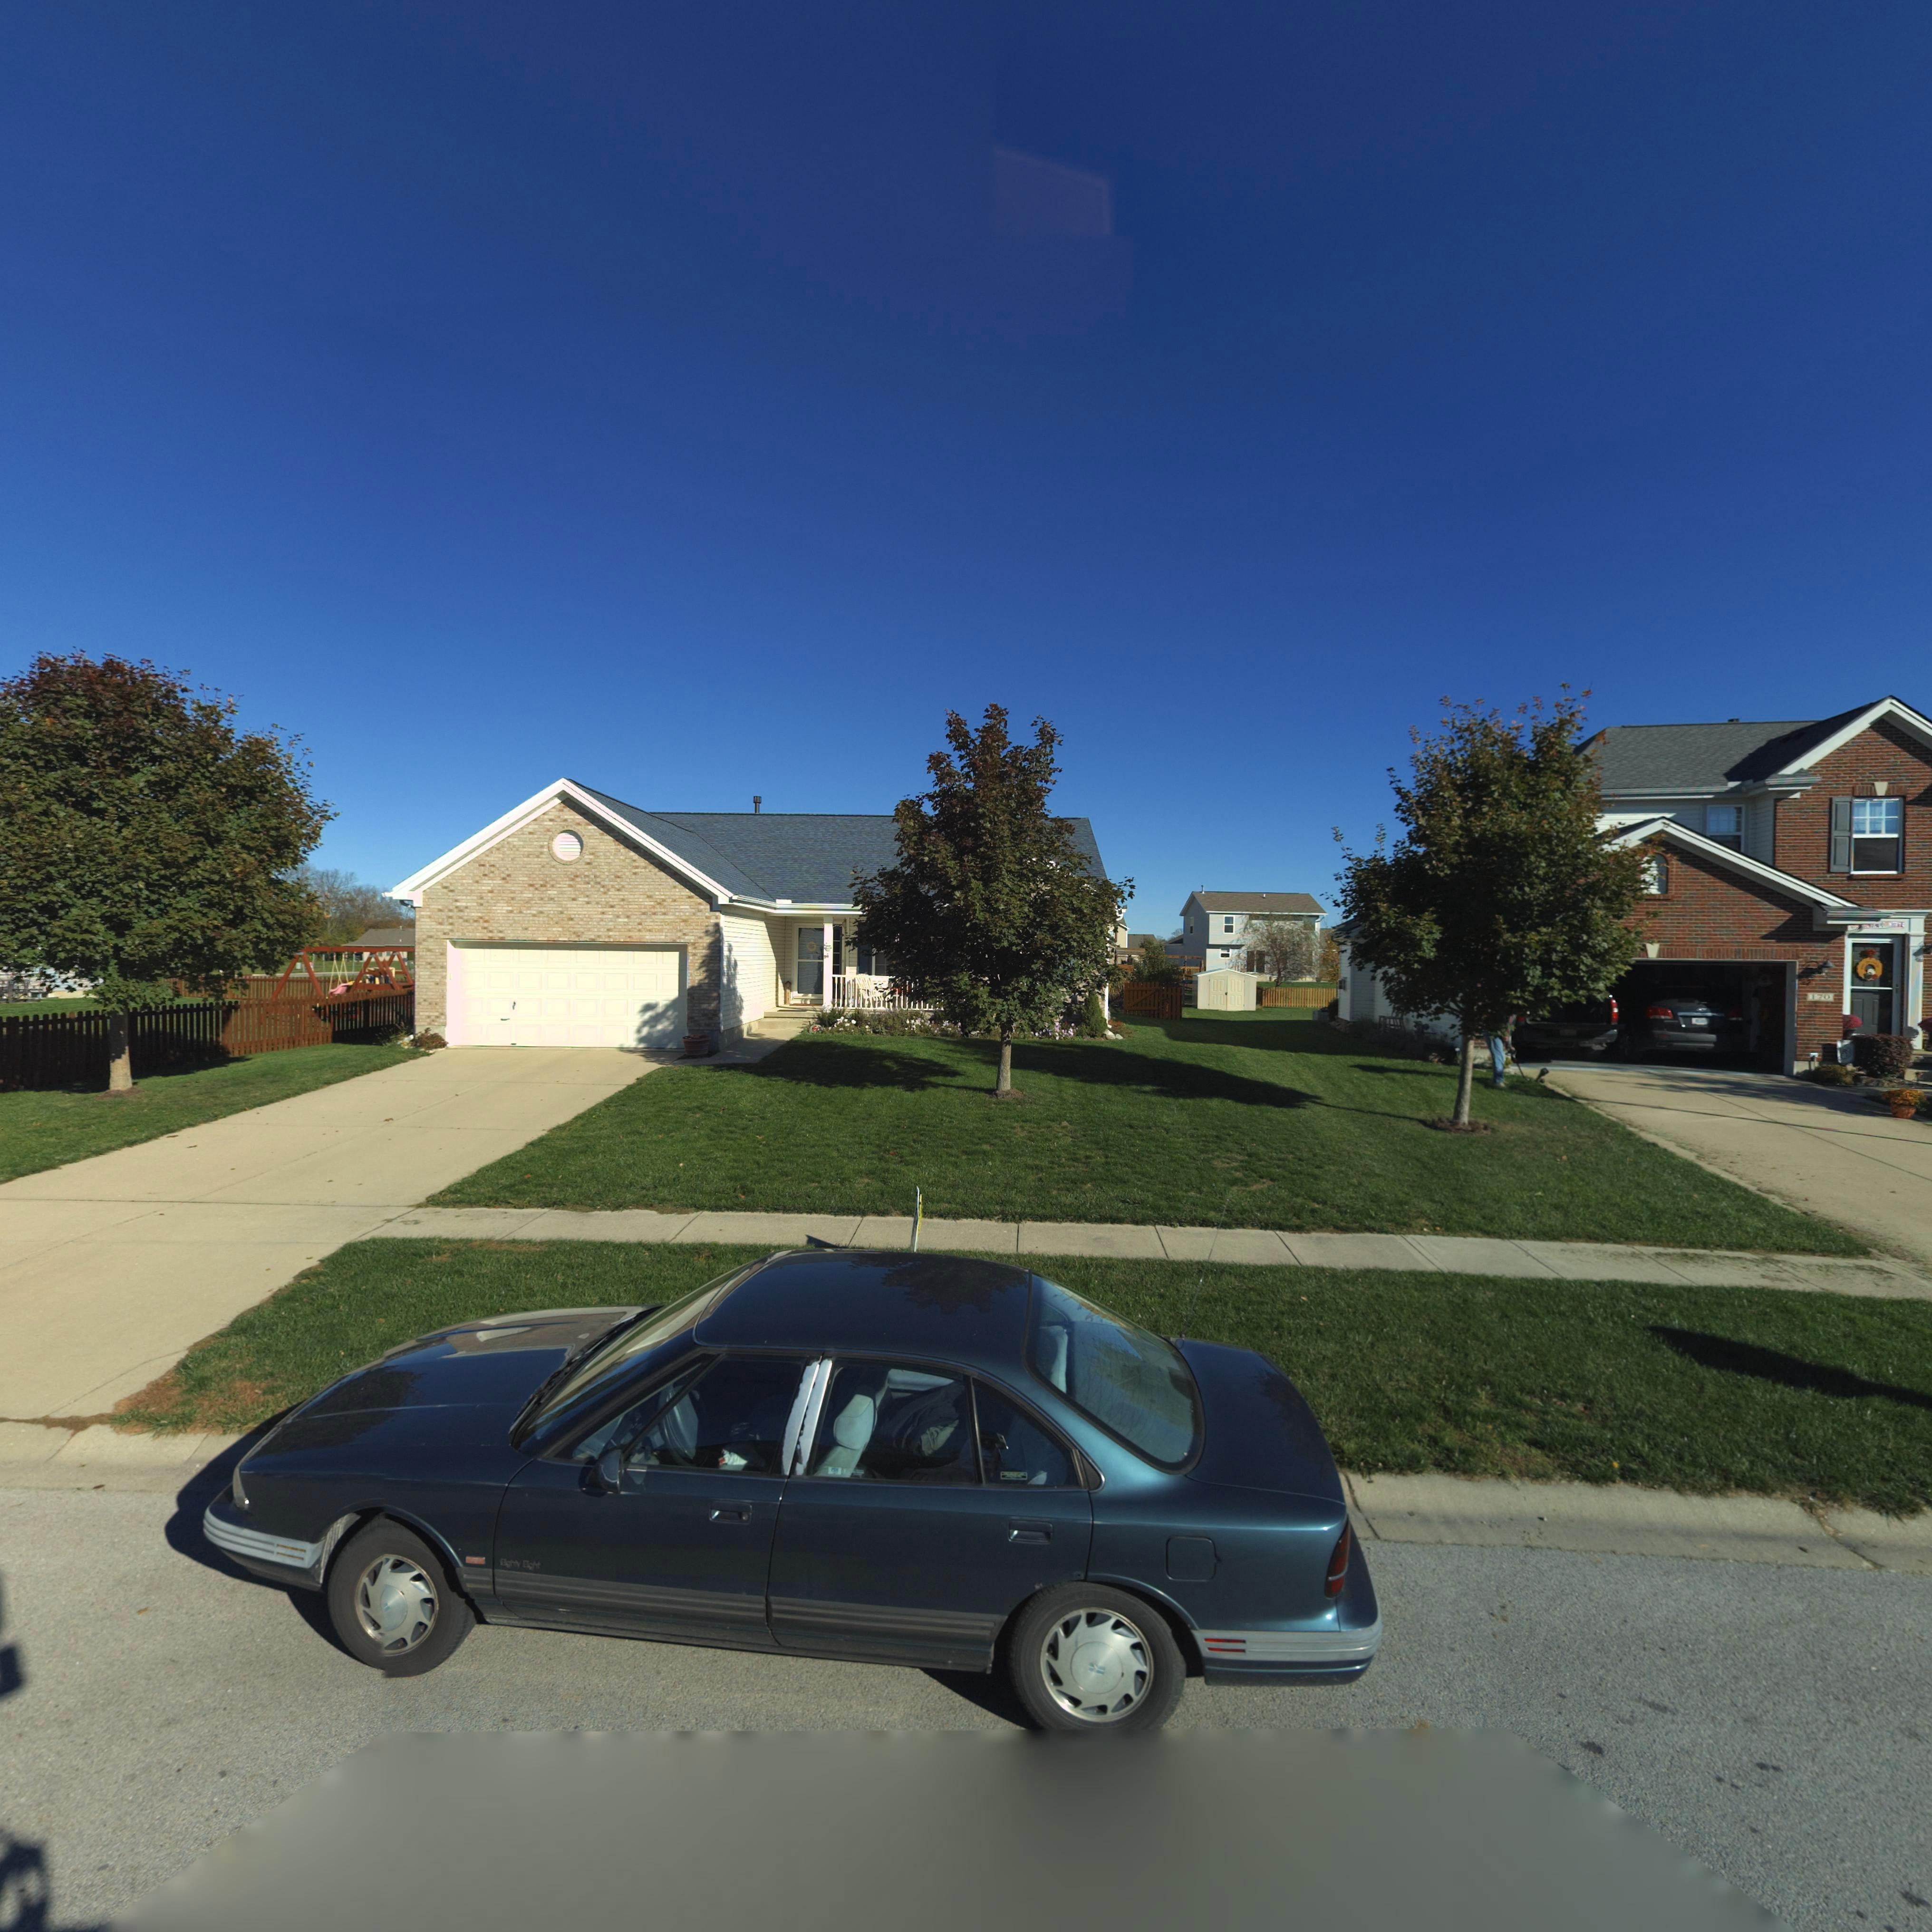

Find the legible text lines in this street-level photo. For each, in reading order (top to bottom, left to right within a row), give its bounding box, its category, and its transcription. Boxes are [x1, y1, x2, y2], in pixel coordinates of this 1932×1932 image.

[1810, 993, 1830, 1001] StreetNumber: 170